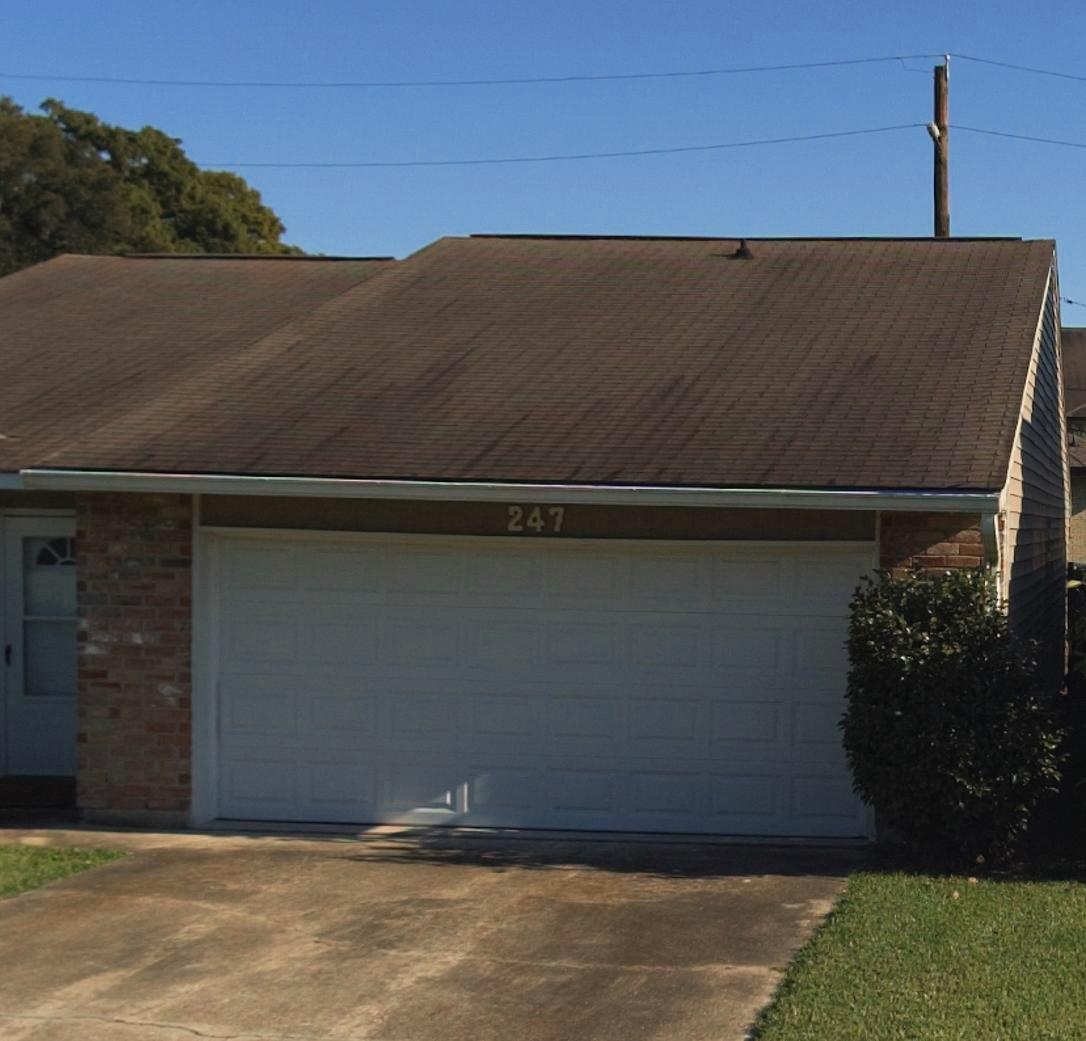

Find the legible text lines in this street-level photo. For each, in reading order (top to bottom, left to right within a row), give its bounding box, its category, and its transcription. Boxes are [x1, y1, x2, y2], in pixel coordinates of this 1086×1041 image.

[505, 505, 566, 533] StreetNumber: 247